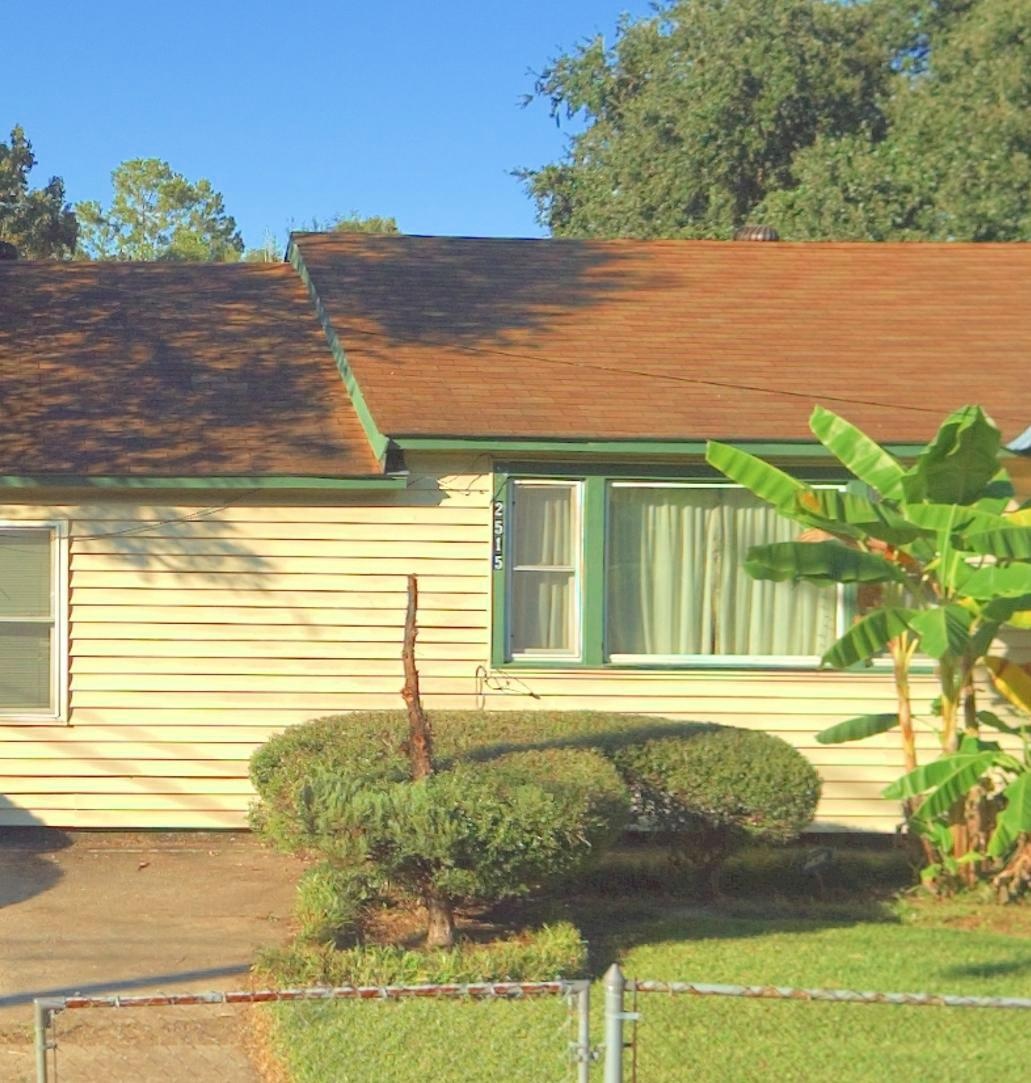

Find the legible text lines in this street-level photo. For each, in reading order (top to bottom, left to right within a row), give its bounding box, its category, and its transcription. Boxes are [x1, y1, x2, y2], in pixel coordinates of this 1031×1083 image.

[493, 501, 504, 570] StreetNumber: 2515